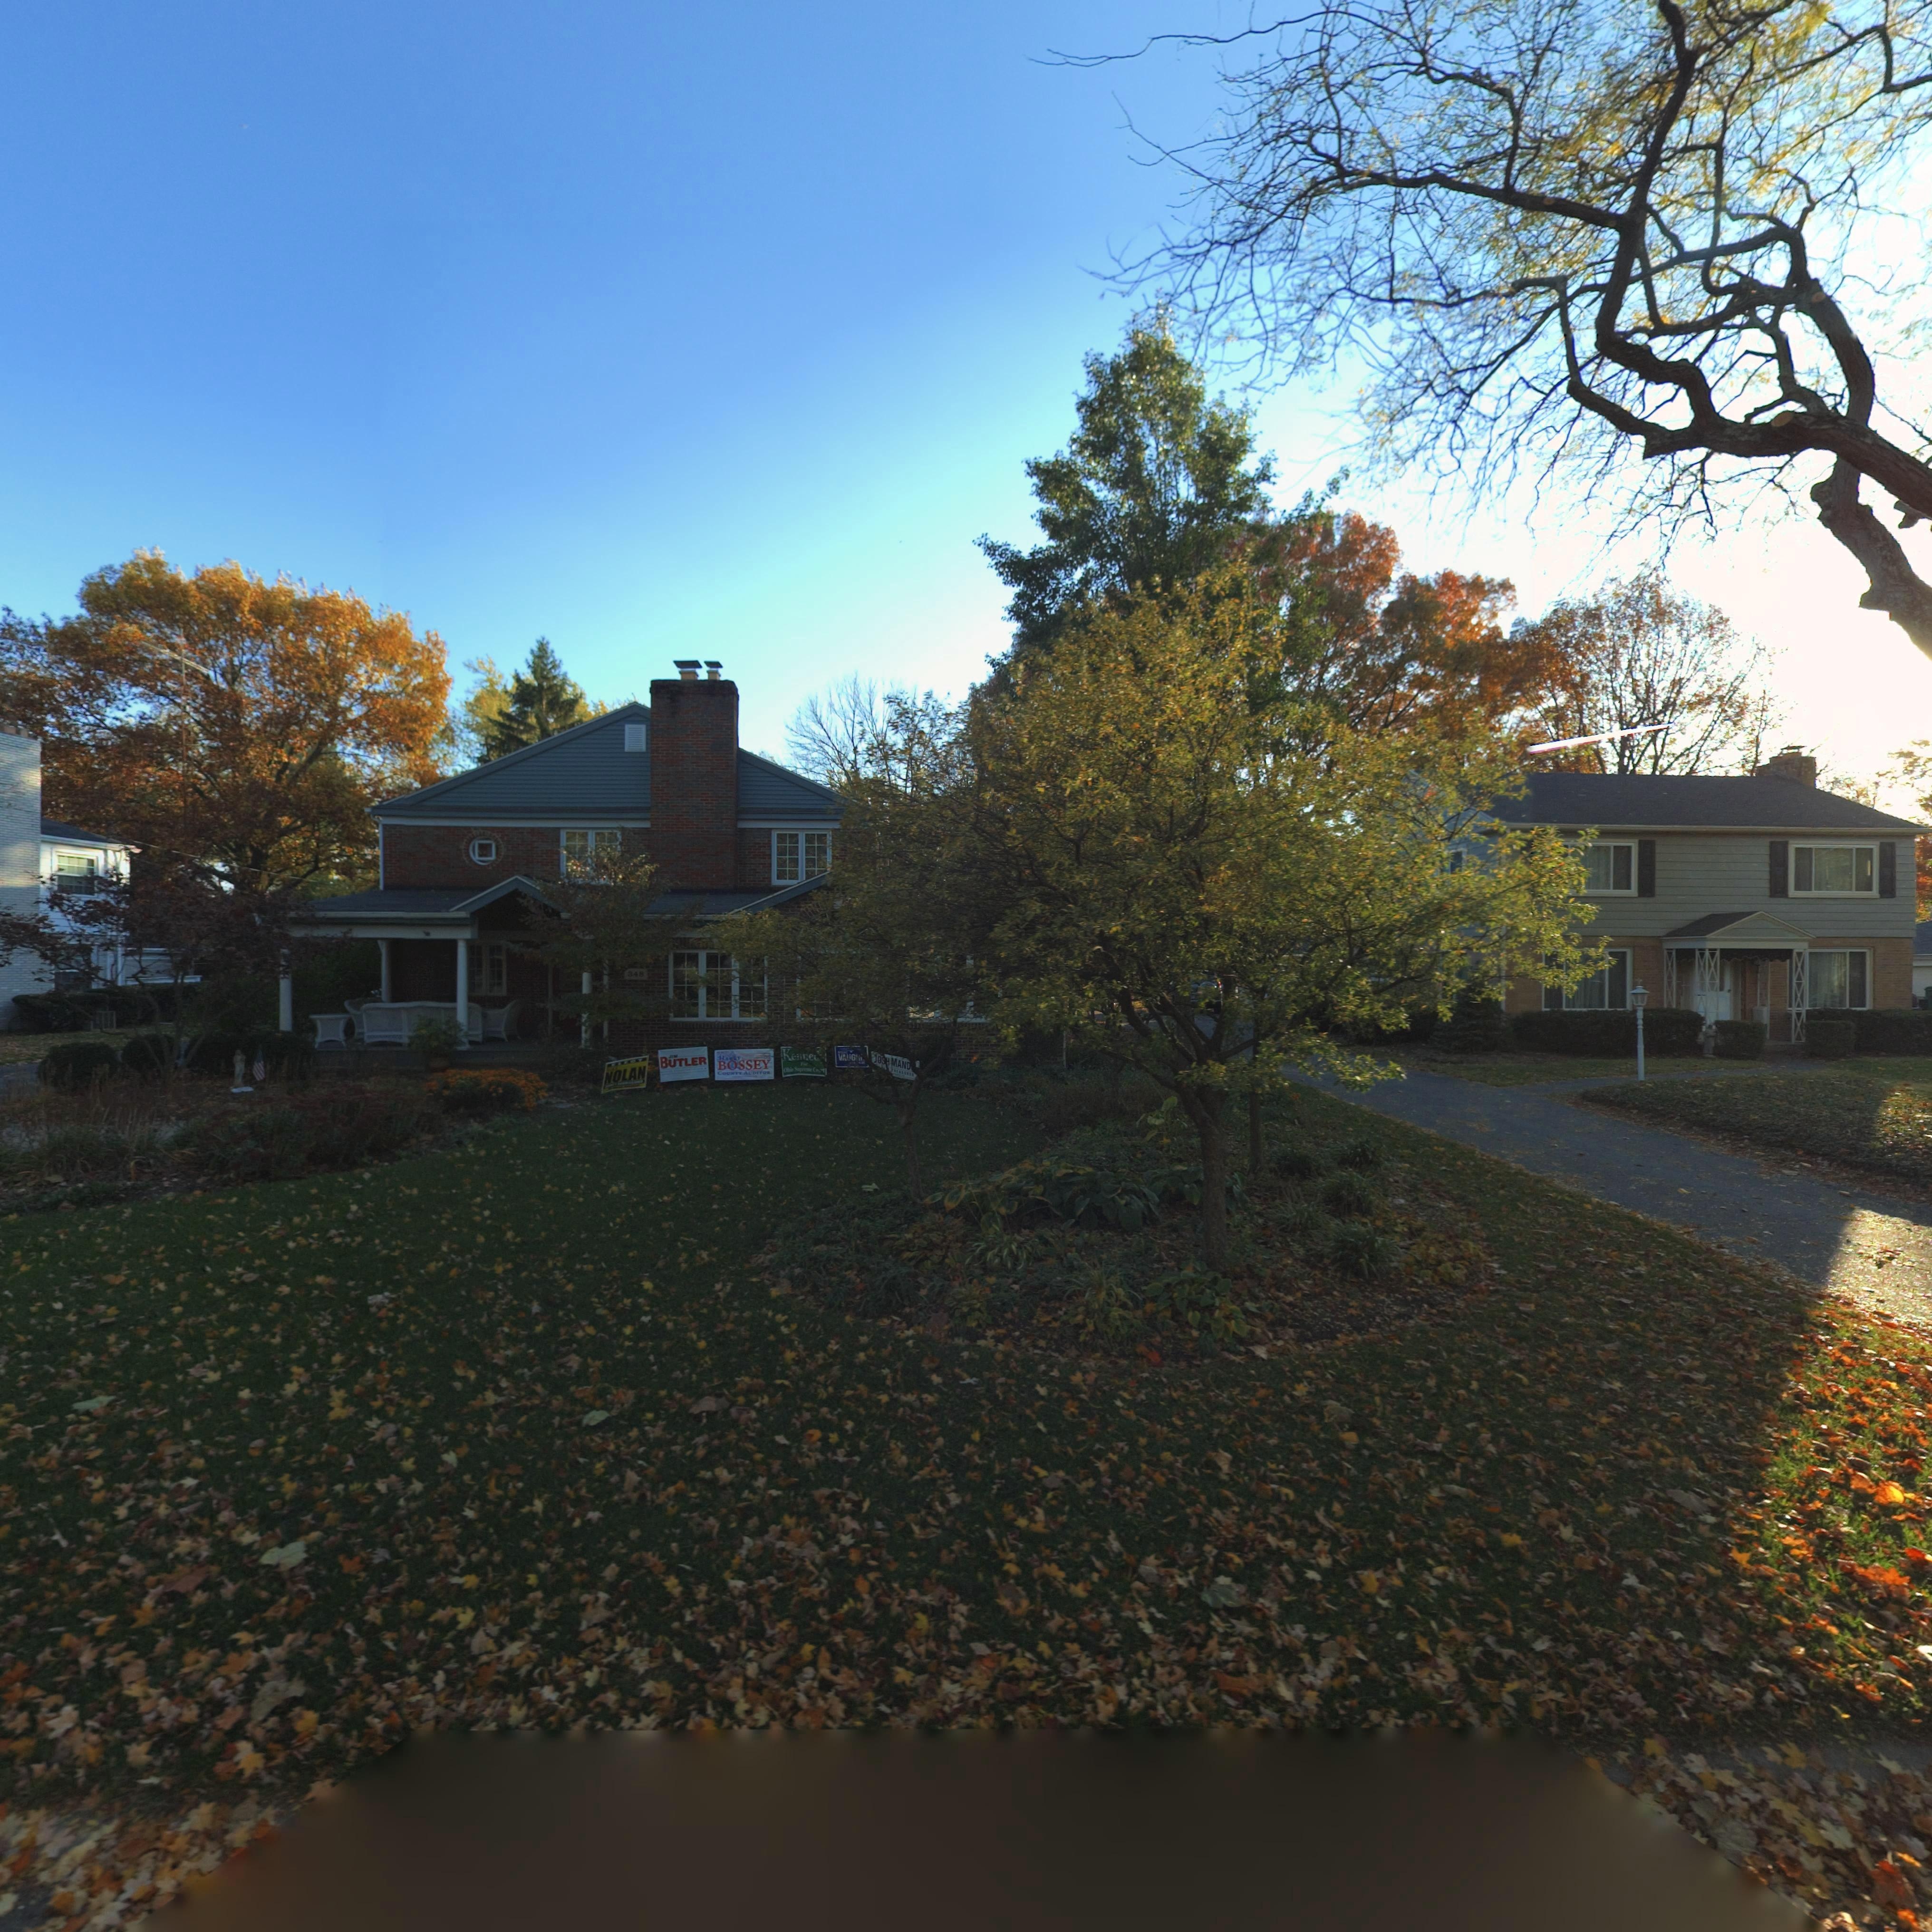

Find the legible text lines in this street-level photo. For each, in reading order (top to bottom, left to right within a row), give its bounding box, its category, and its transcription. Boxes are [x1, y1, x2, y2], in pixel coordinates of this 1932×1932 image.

[627, 970, 645, 978] StreetNumber: 348